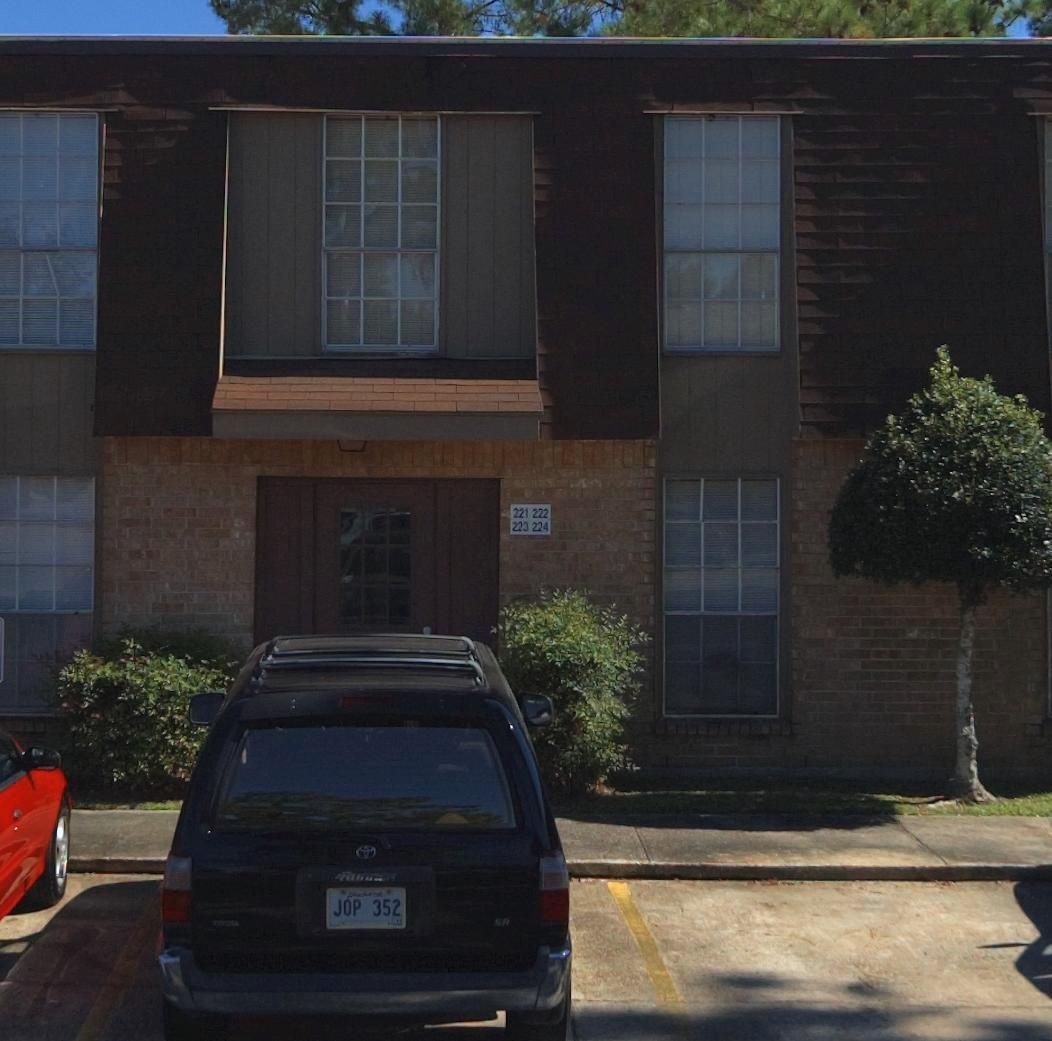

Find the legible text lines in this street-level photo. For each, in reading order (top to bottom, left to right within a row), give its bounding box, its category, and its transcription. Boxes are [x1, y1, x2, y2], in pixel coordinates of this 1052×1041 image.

[510, 506, 530, 520] StreetNumber: 221
[530, 506, 551, 520] StreetNumber: 222
[510, 519, 530, 534] StreetNumber: 223
[530, 519, 551, 534] StreetNumber: 224
[333, 869, 398, 884] None: 4RUNNER
[332, 897, 403, 919] None: JOP 352